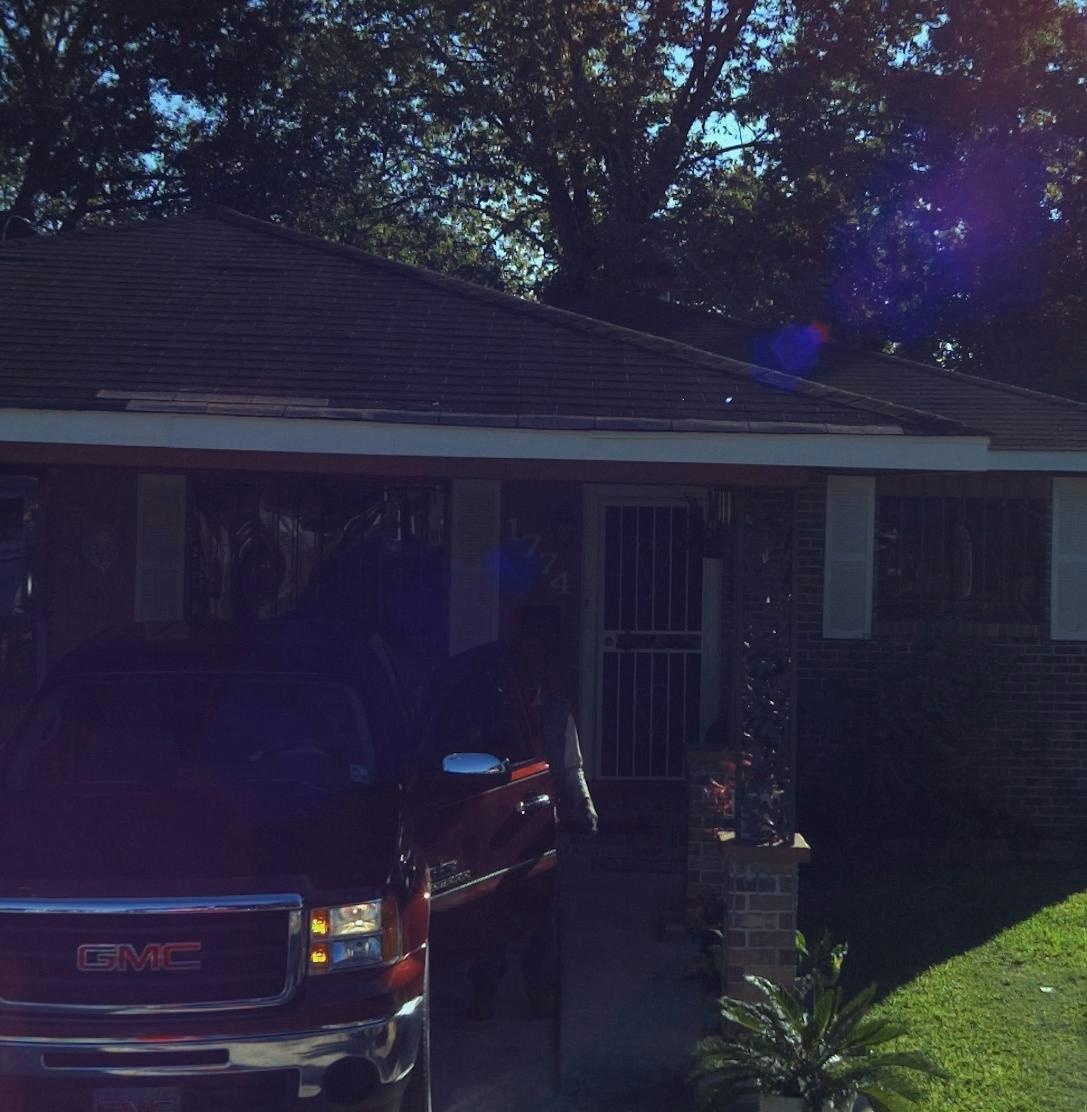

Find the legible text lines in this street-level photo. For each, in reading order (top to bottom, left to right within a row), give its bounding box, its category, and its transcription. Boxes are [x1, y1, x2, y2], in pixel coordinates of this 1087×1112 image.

[504, 516, 574, 597] StreetNumber: 1774
[72, 938, 205, 975] None: GMC